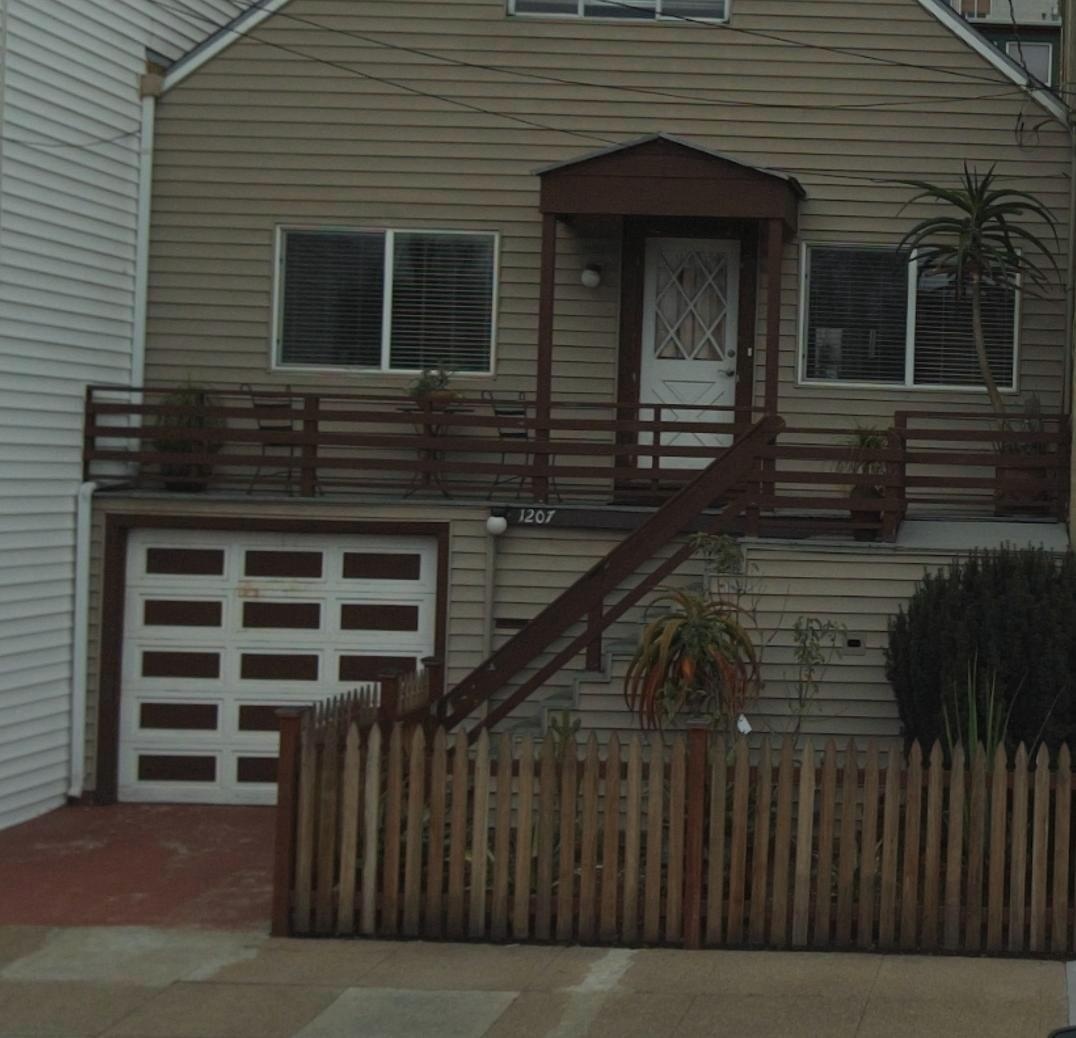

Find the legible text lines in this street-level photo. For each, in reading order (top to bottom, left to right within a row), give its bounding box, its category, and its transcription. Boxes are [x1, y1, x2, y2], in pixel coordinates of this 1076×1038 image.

[517, 508, 556, 523] StreetNumber: 1207